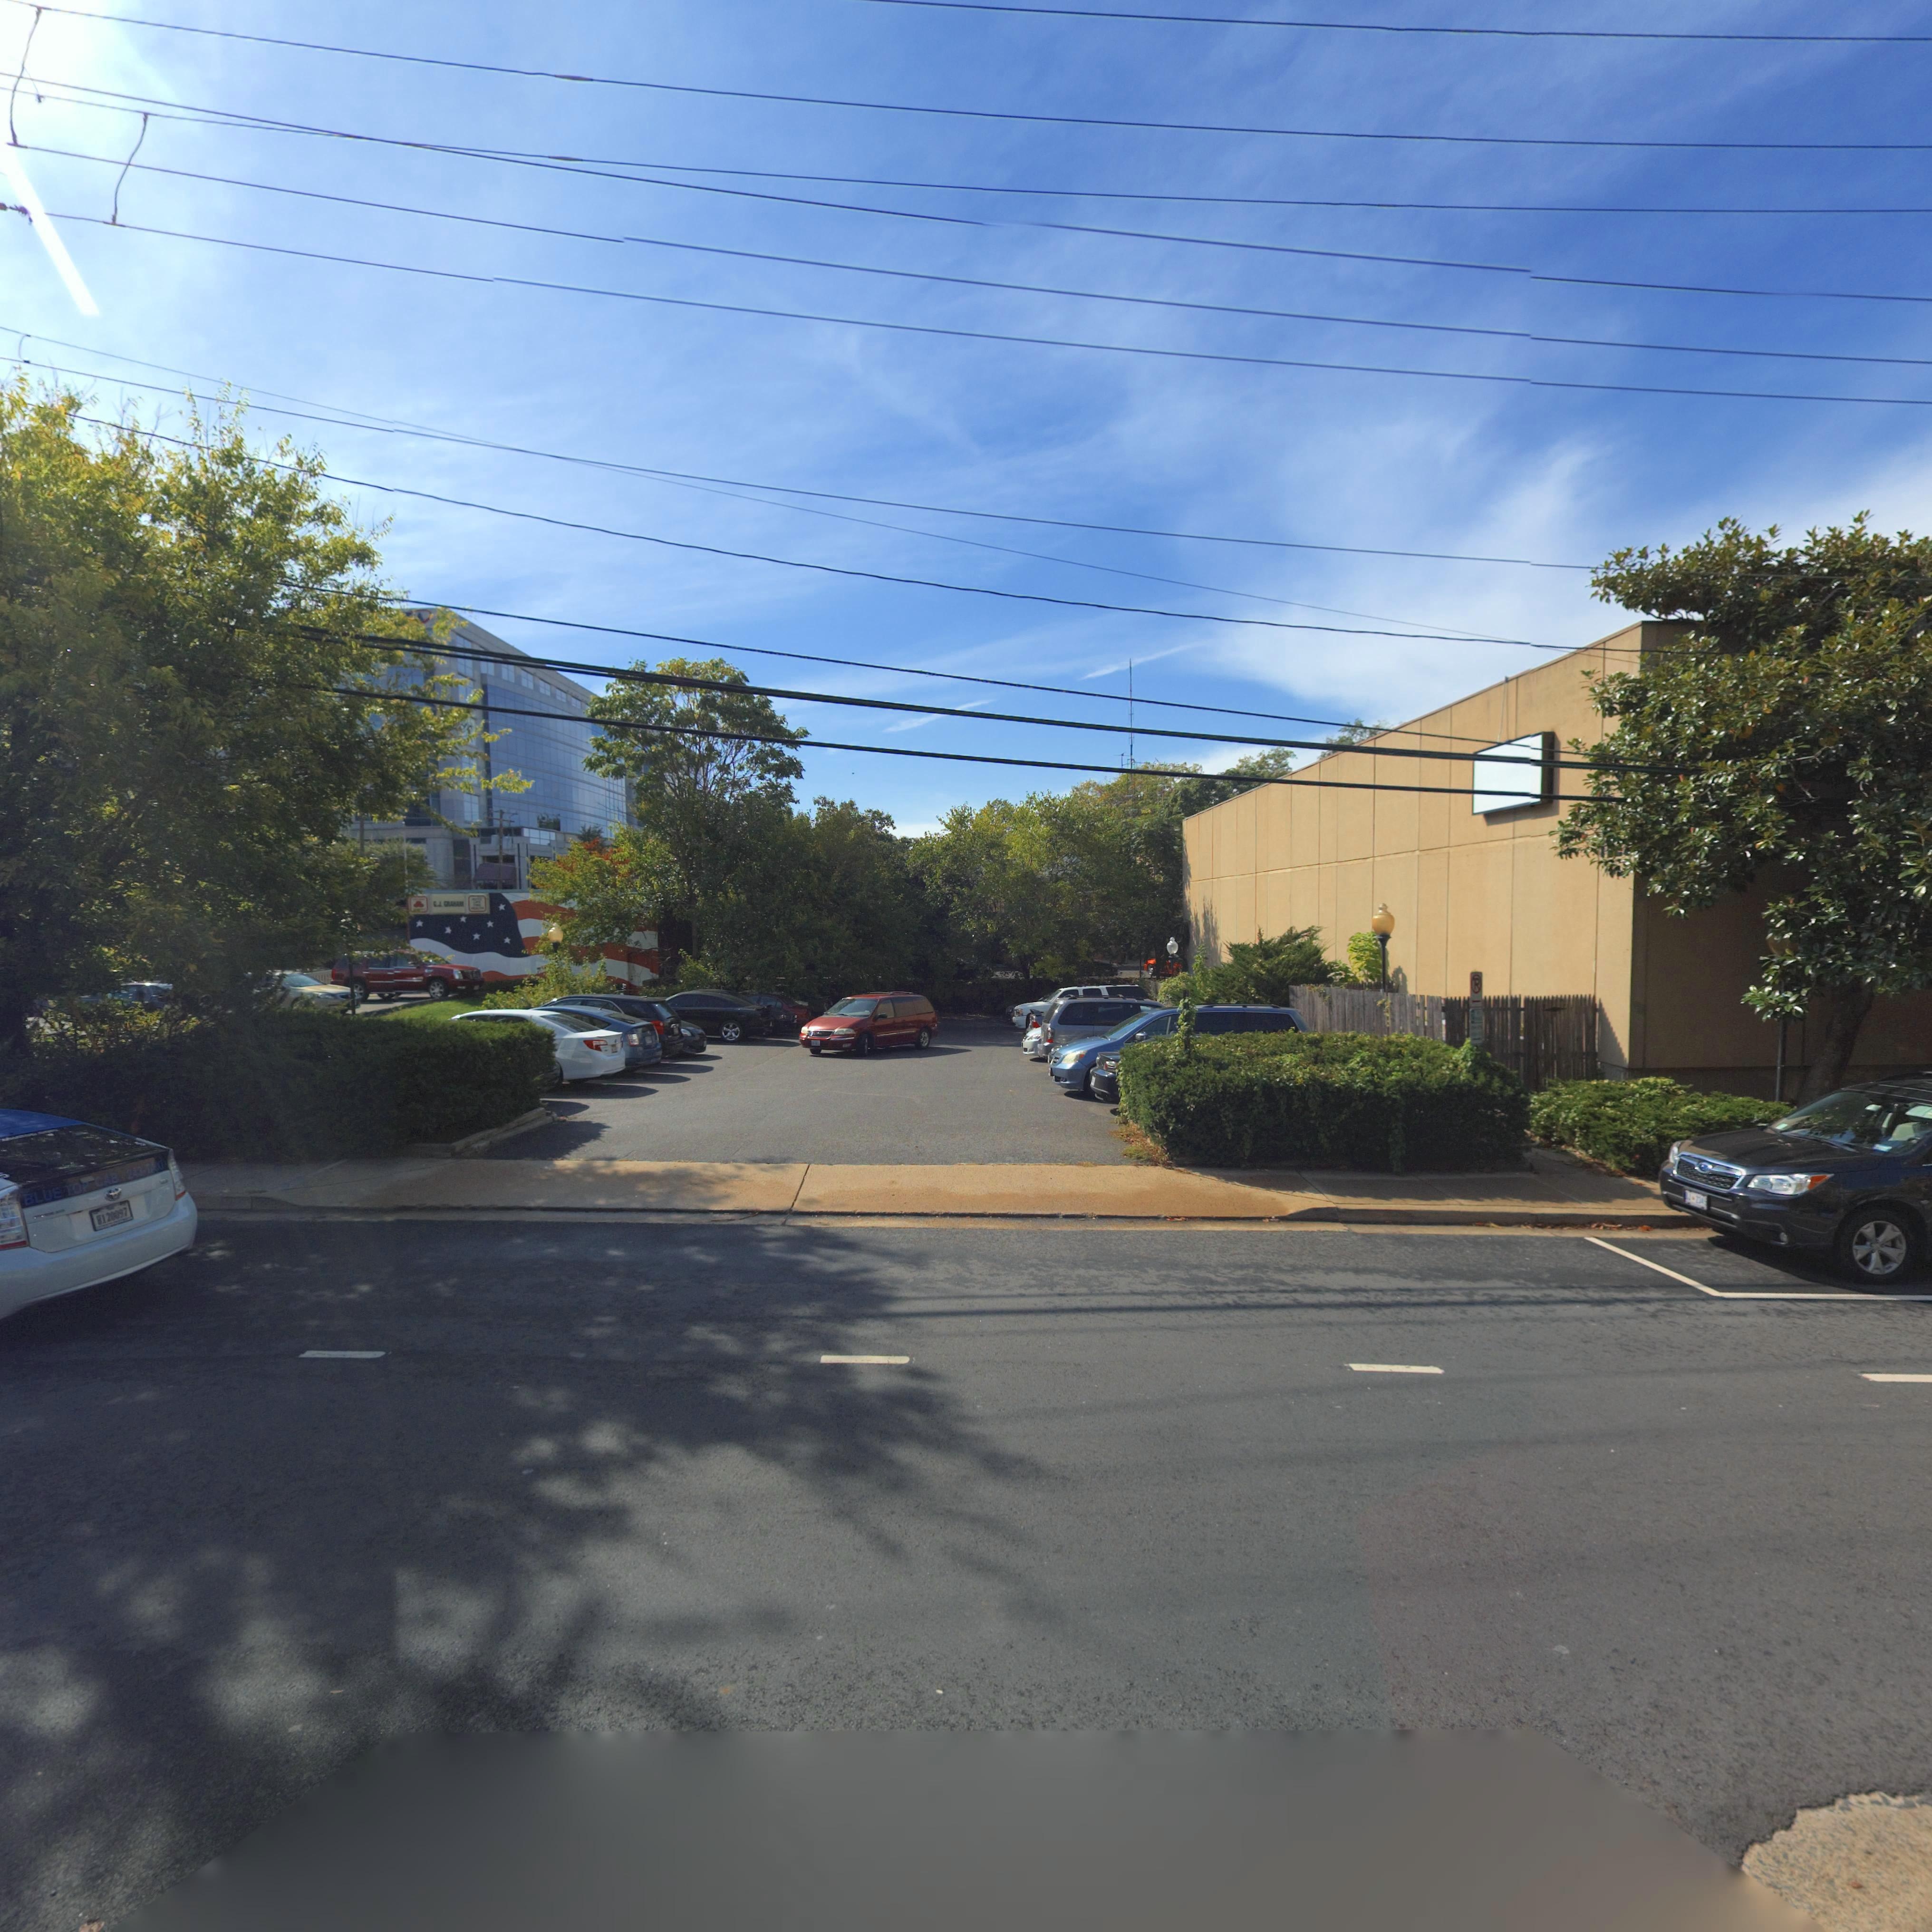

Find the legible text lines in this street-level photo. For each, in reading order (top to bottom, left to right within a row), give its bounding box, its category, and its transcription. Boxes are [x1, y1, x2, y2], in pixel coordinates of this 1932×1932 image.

[433, 900, 464, 907] None: G.J. GRAHAM
[1470, 1012, 1475, 1022] None: 2
[126, 1159, 165, 1181] None: 243-7**0
[21, 1171, 121, 1207] None: BLUE TOP CAB
[1695, 1195, 1704, 1206] None: 234
[94, 1206, 128, 1227] None: 8120097